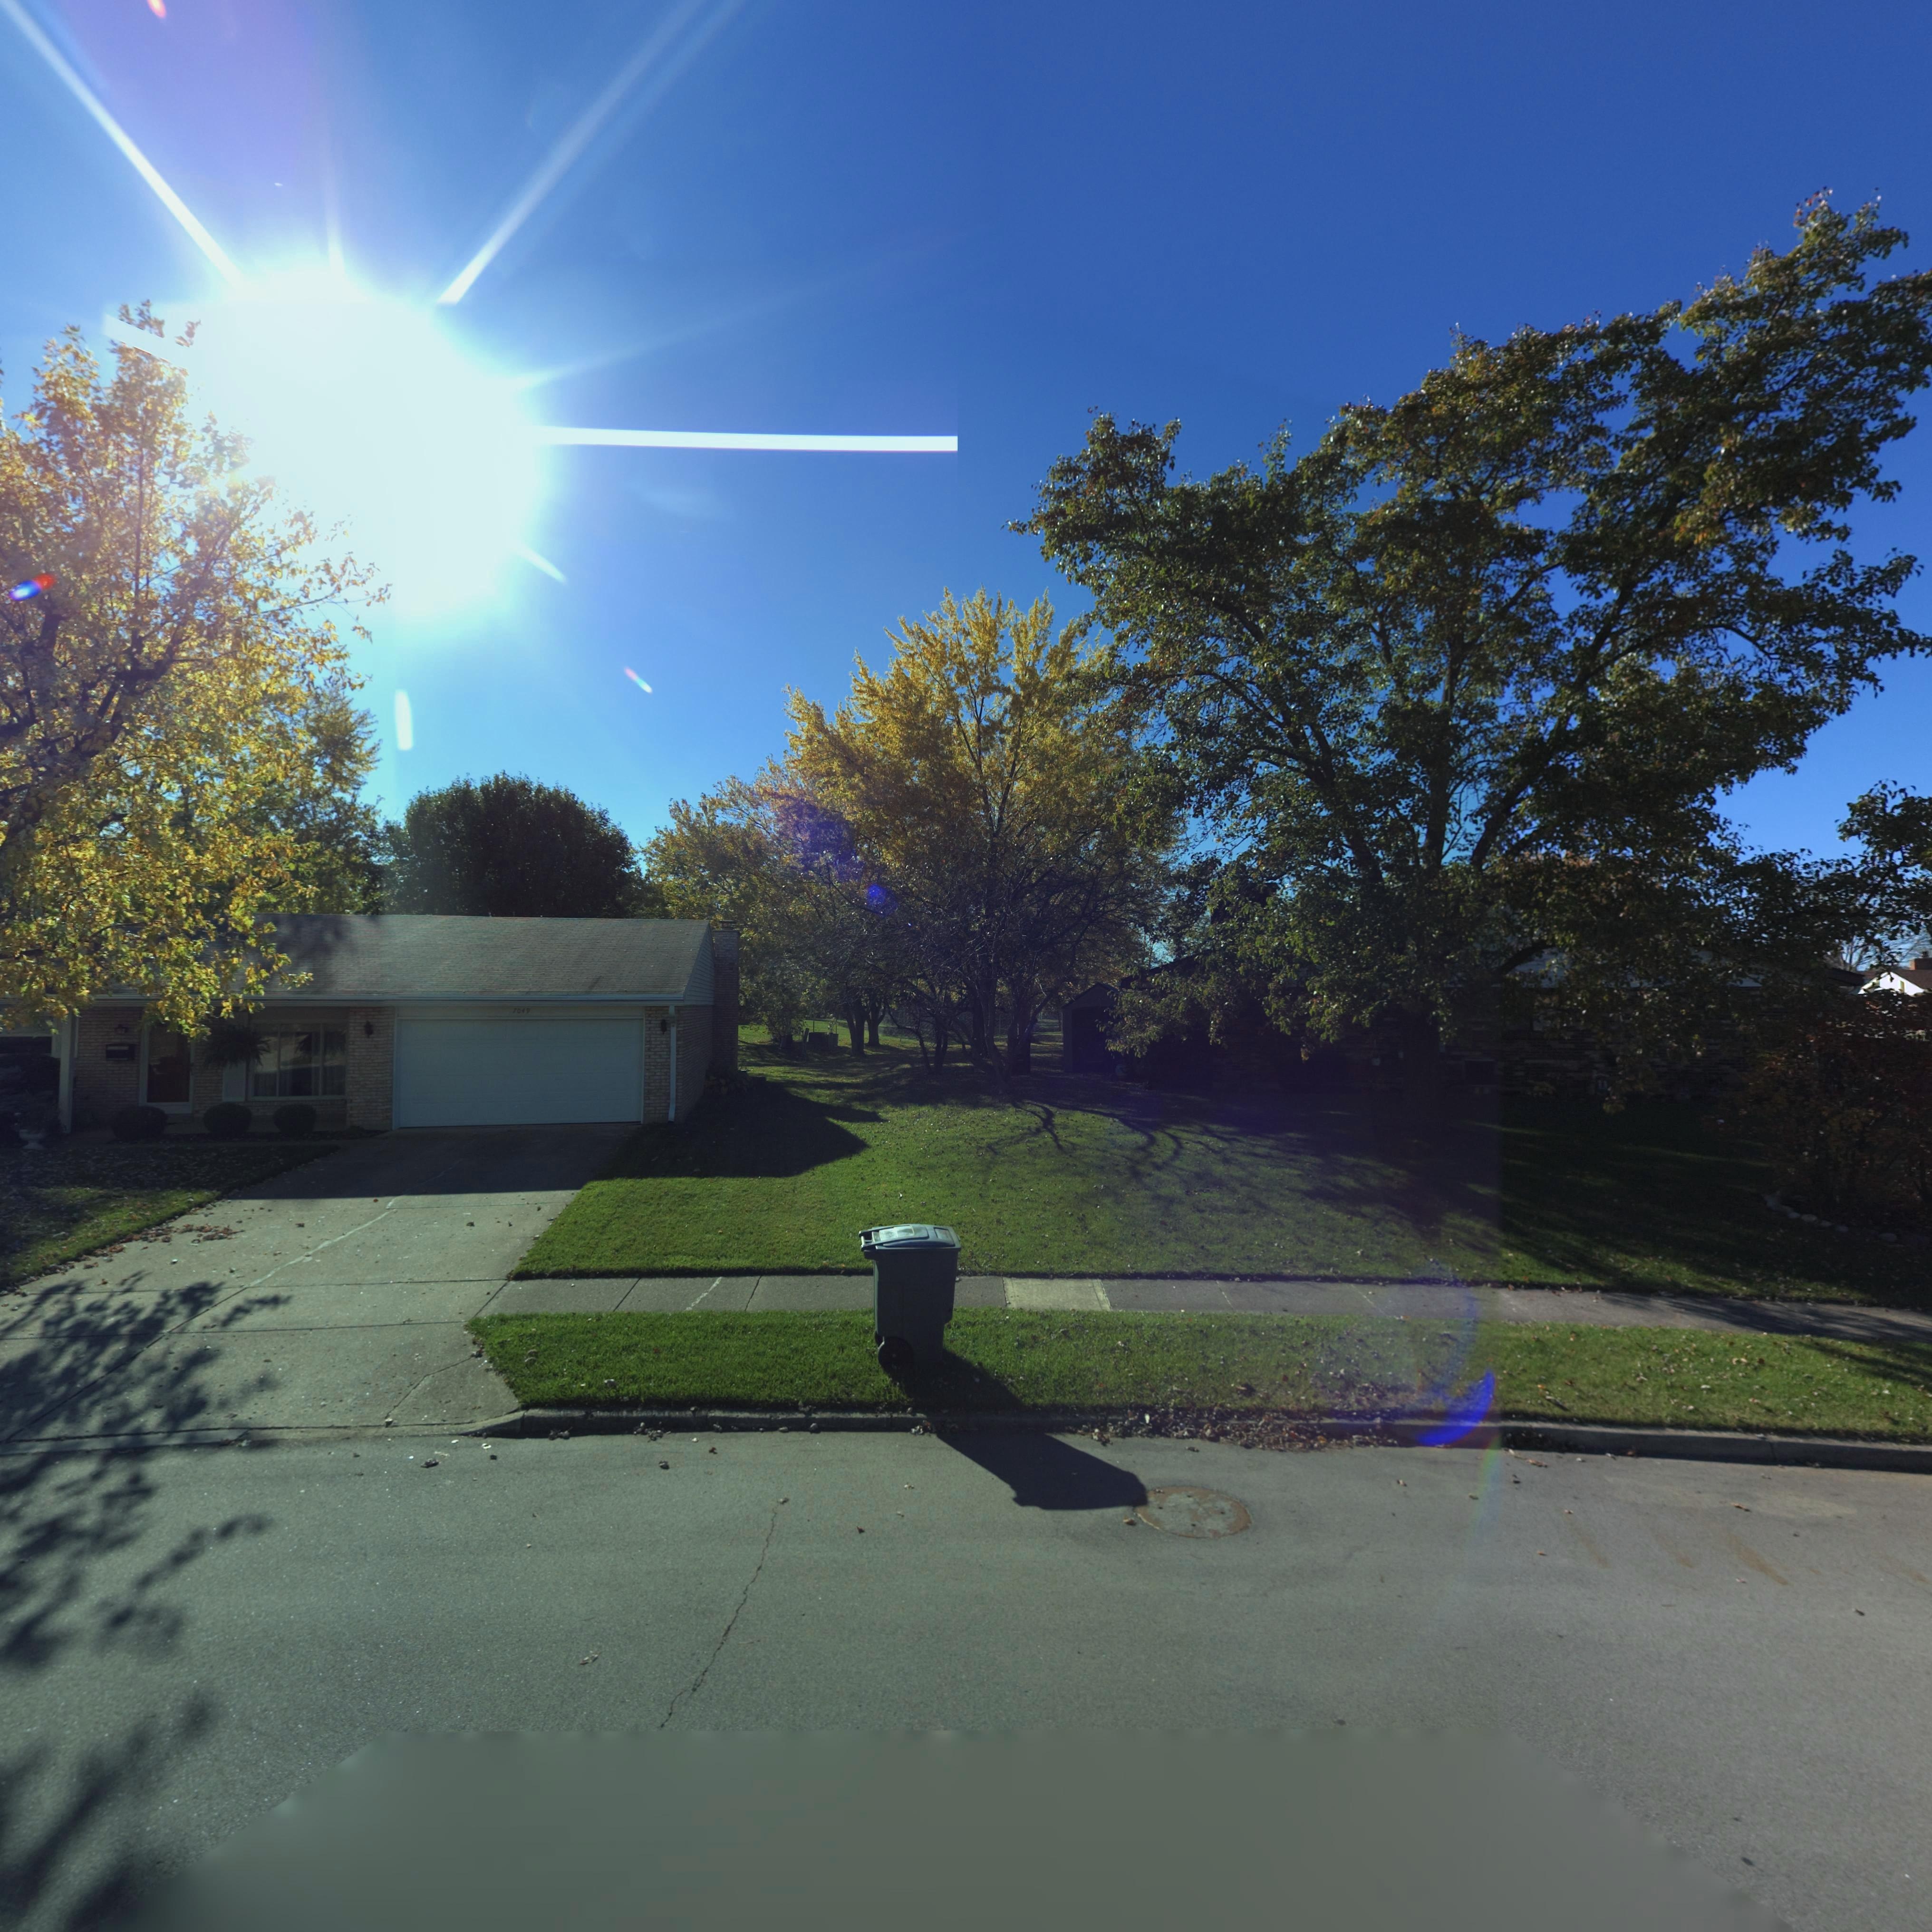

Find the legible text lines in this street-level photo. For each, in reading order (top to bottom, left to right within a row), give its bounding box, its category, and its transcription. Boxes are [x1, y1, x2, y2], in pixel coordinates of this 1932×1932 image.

[512, 1007, 531, 1014] StreetNumber: 7049